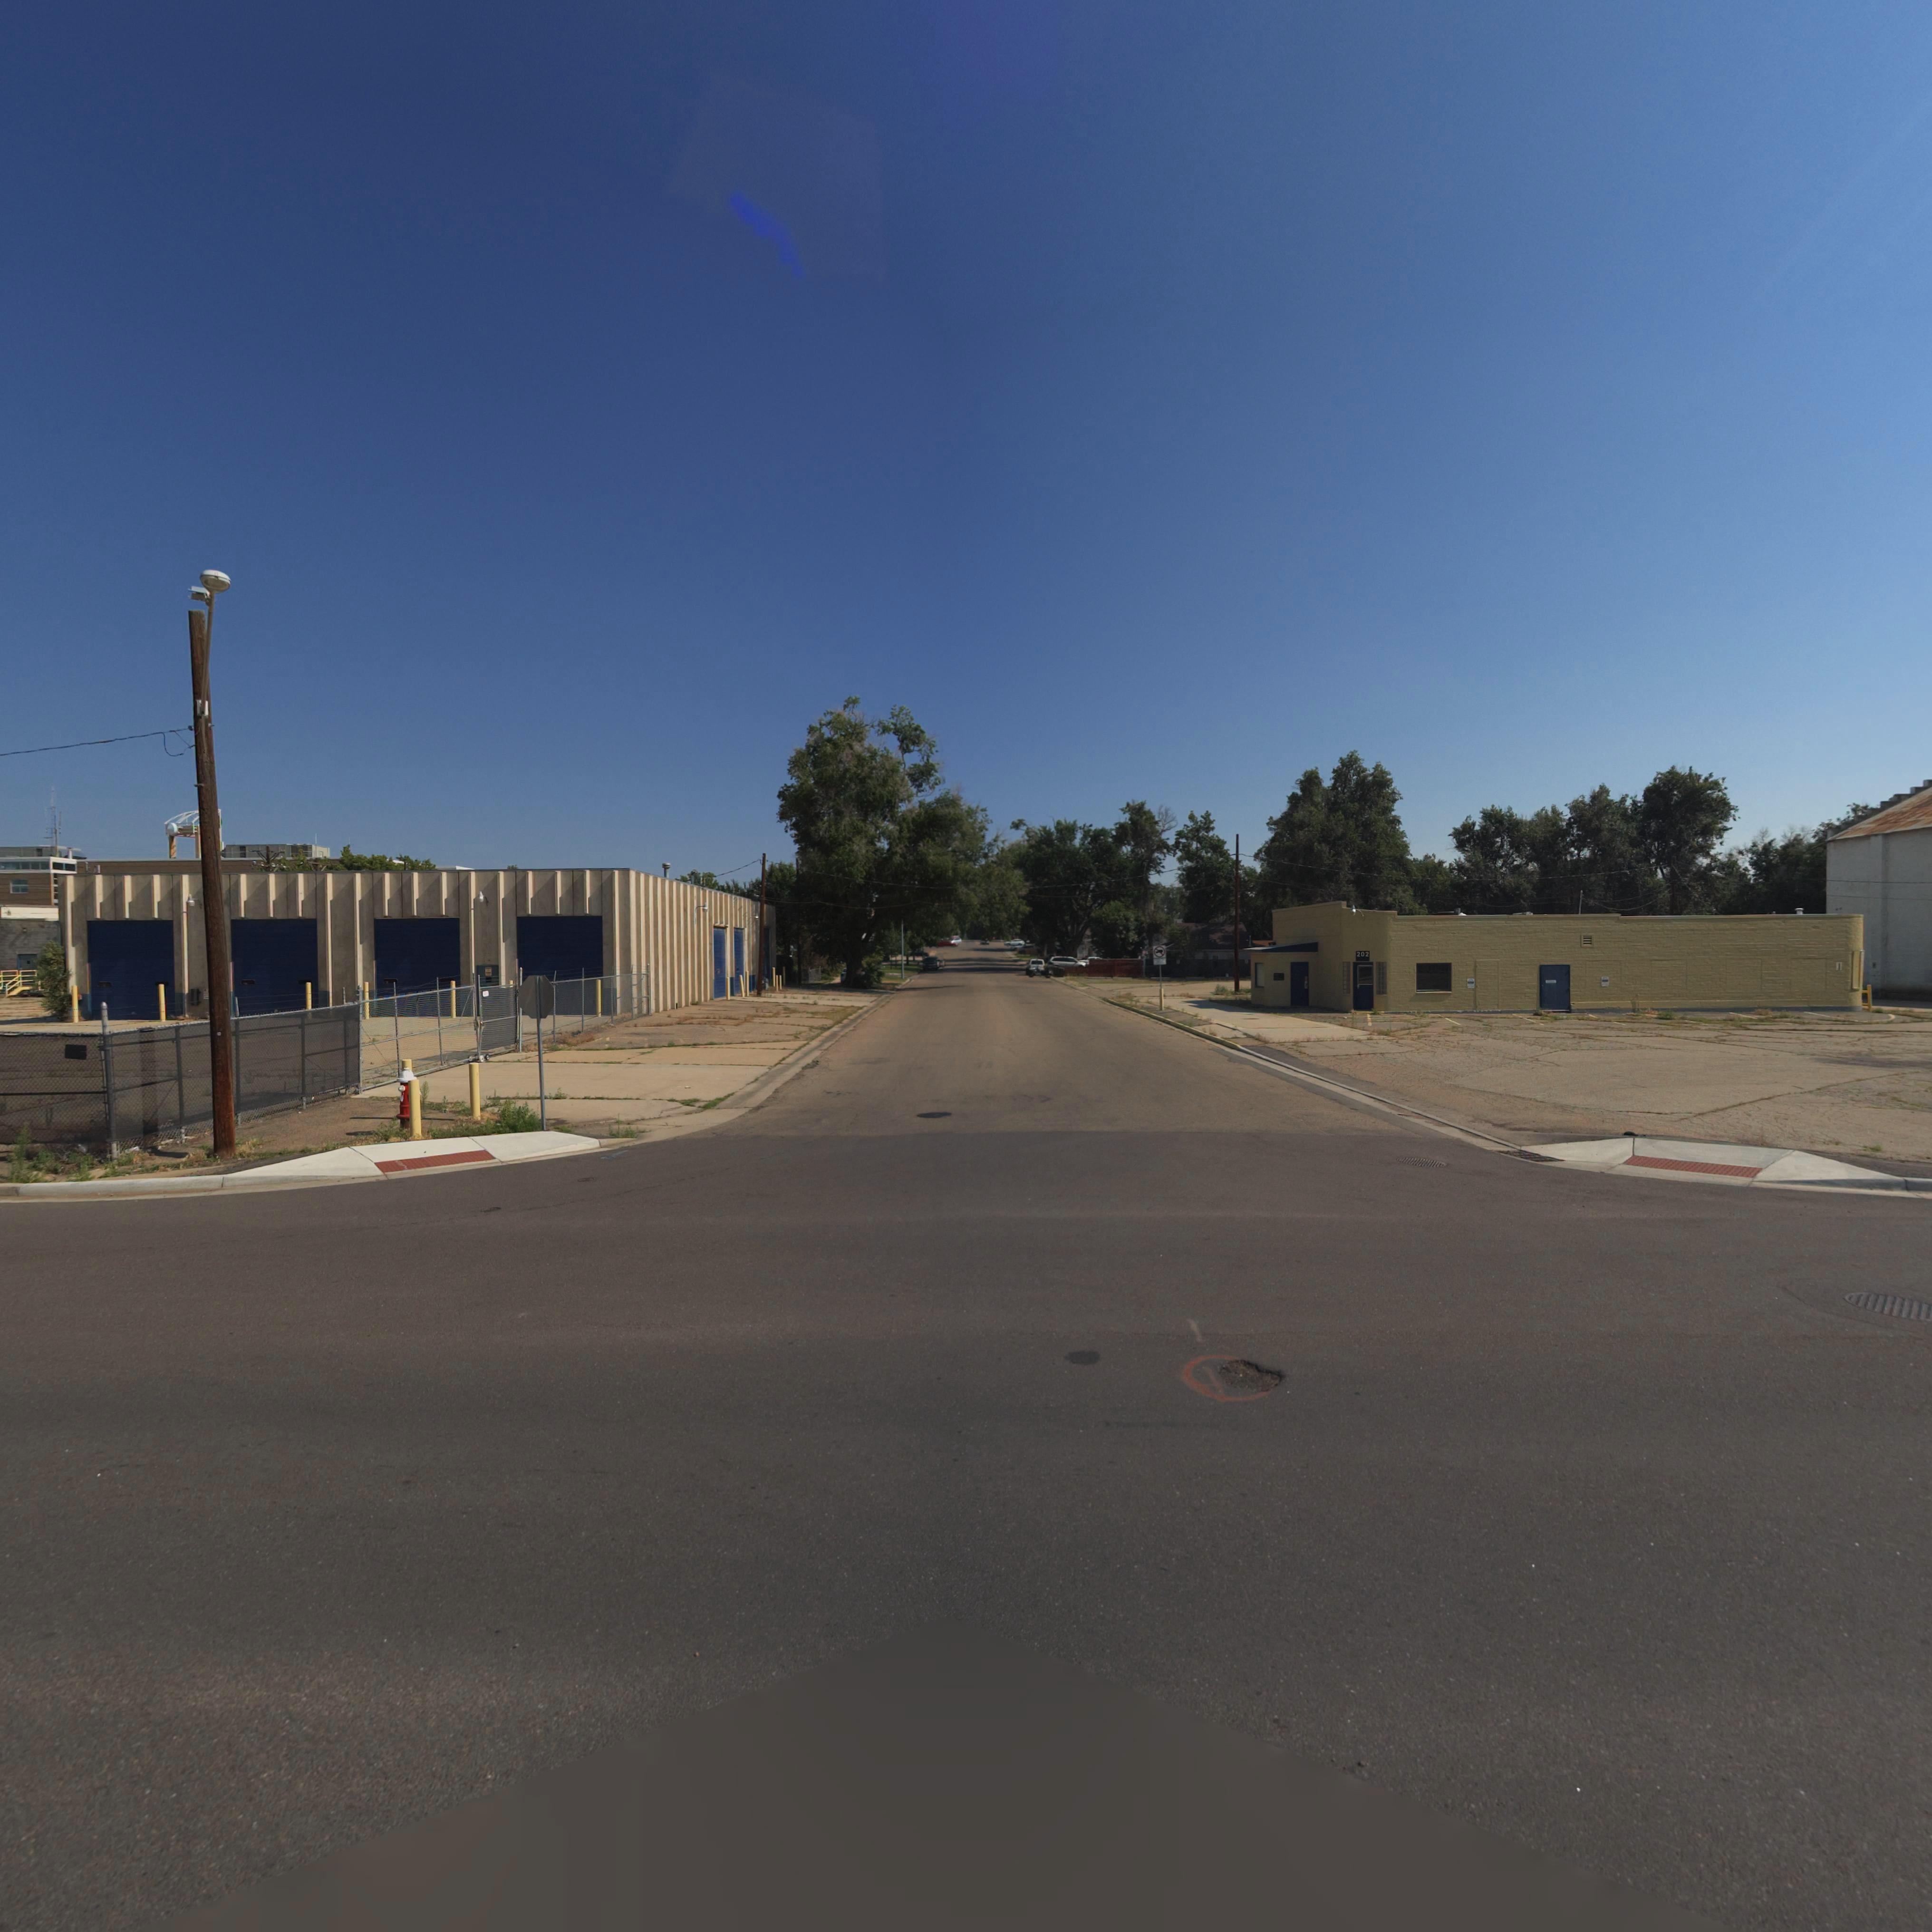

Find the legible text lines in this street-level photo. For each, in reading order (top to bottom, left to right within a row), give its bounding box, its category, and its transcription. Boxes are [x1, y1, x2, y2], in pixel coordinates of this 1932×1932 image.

[1356, 951, 1369, 957] StreetNumber: 202